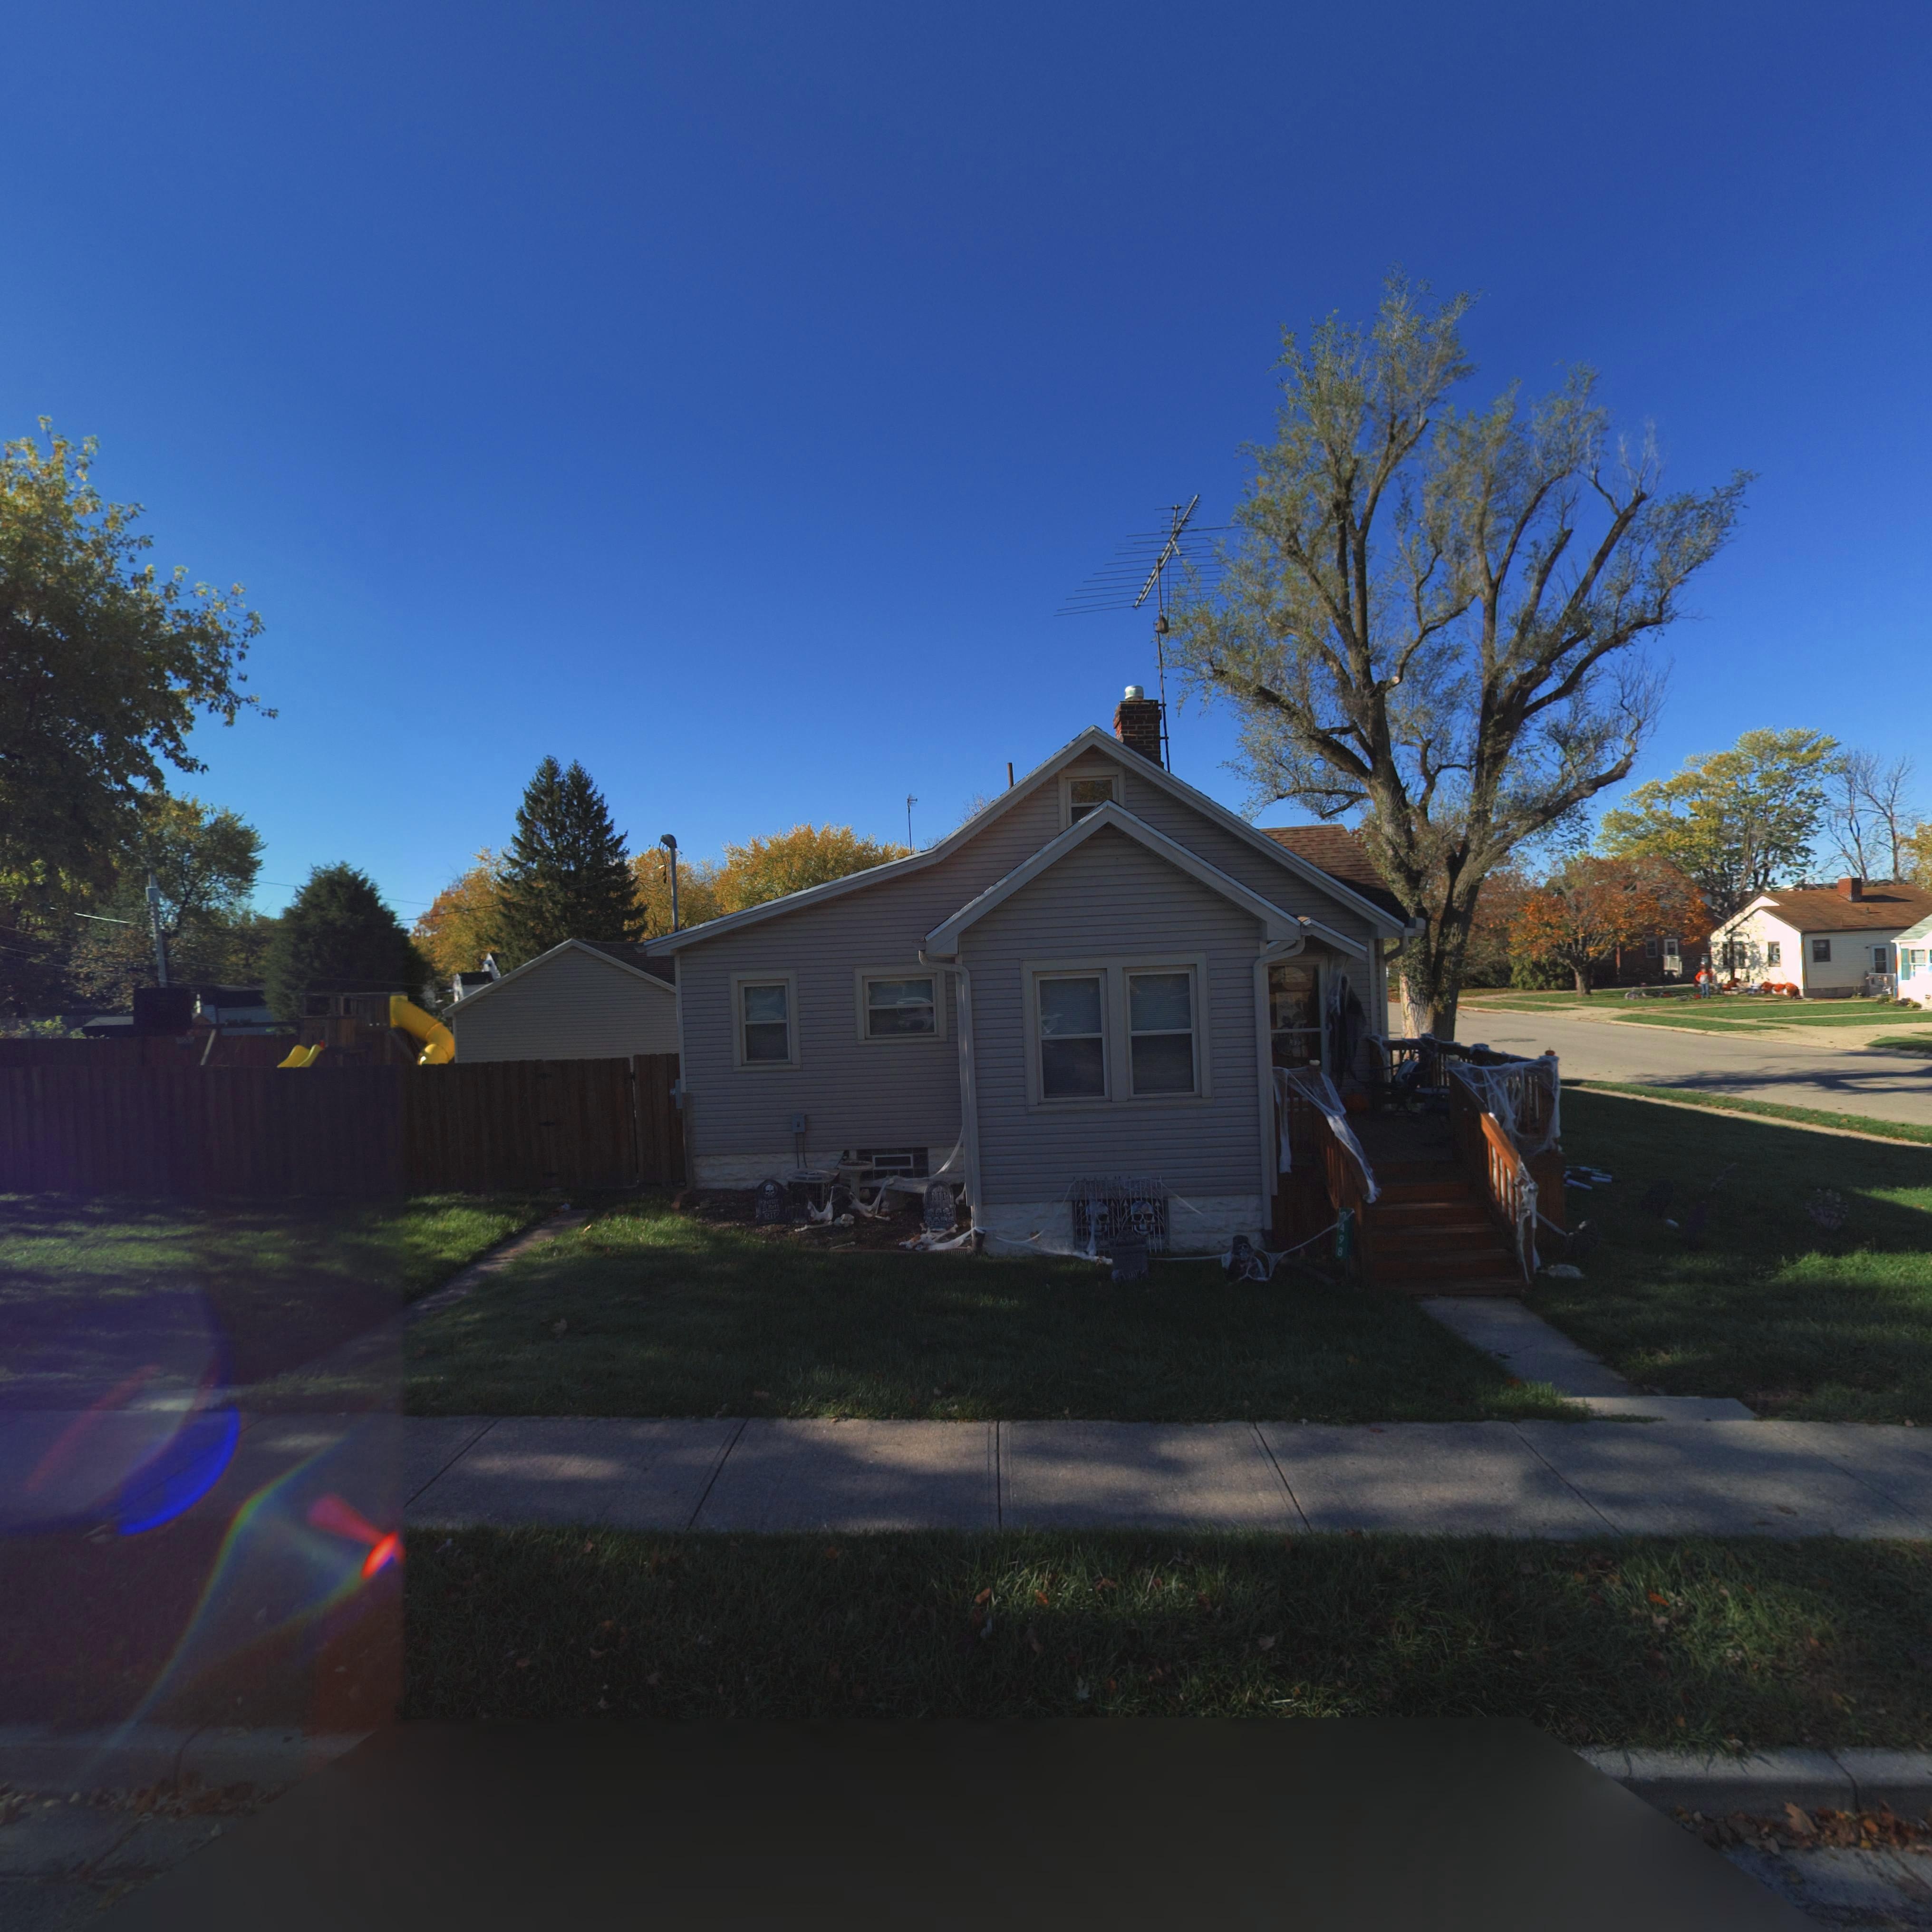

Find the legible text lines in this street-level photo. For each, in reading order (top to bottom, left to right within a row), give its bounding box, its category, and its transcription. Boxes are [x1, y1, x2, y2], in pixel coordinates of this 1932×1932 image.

[1335, 1210, 1349, 1258] StreetNumber: *498